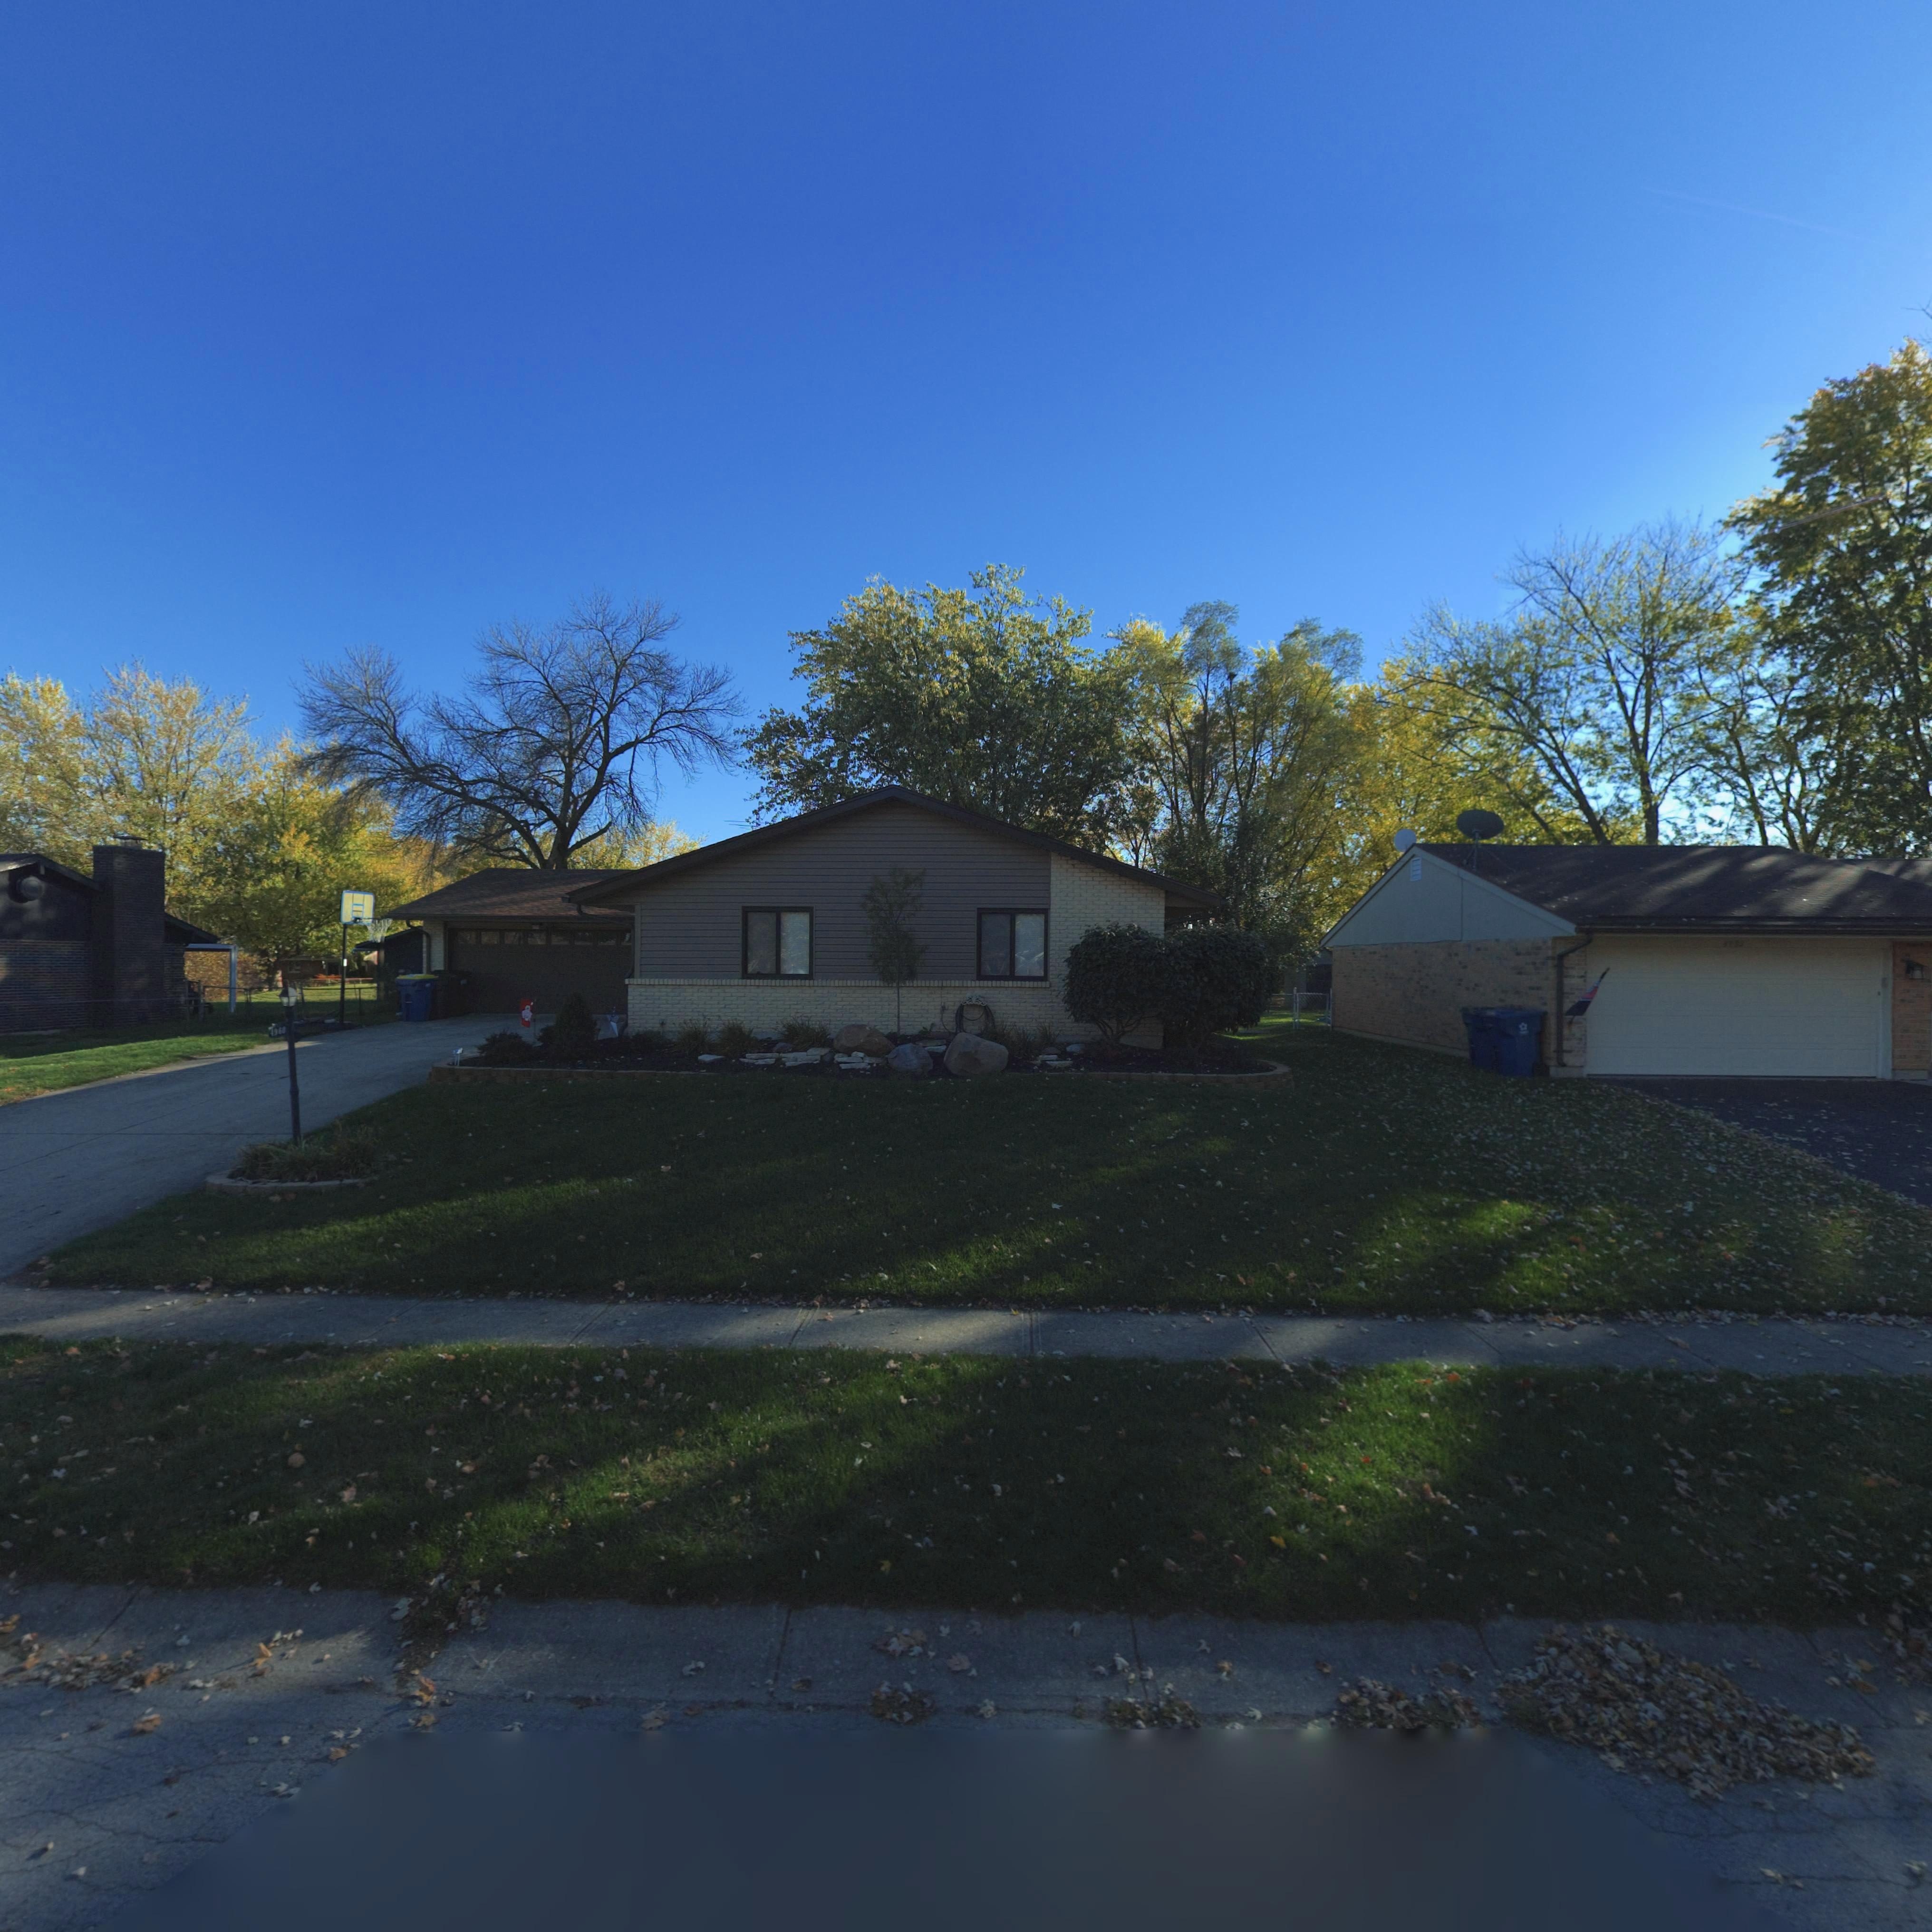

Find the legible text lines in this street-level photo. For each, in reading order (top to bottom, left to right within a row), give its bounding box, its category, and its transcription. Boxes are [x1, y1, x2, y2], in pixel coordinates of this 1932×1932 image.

[1722, 938, 1746, 948] StreetNumber: 4*3*
[269, 1025, 286, 1037] StreetNumber: 4960